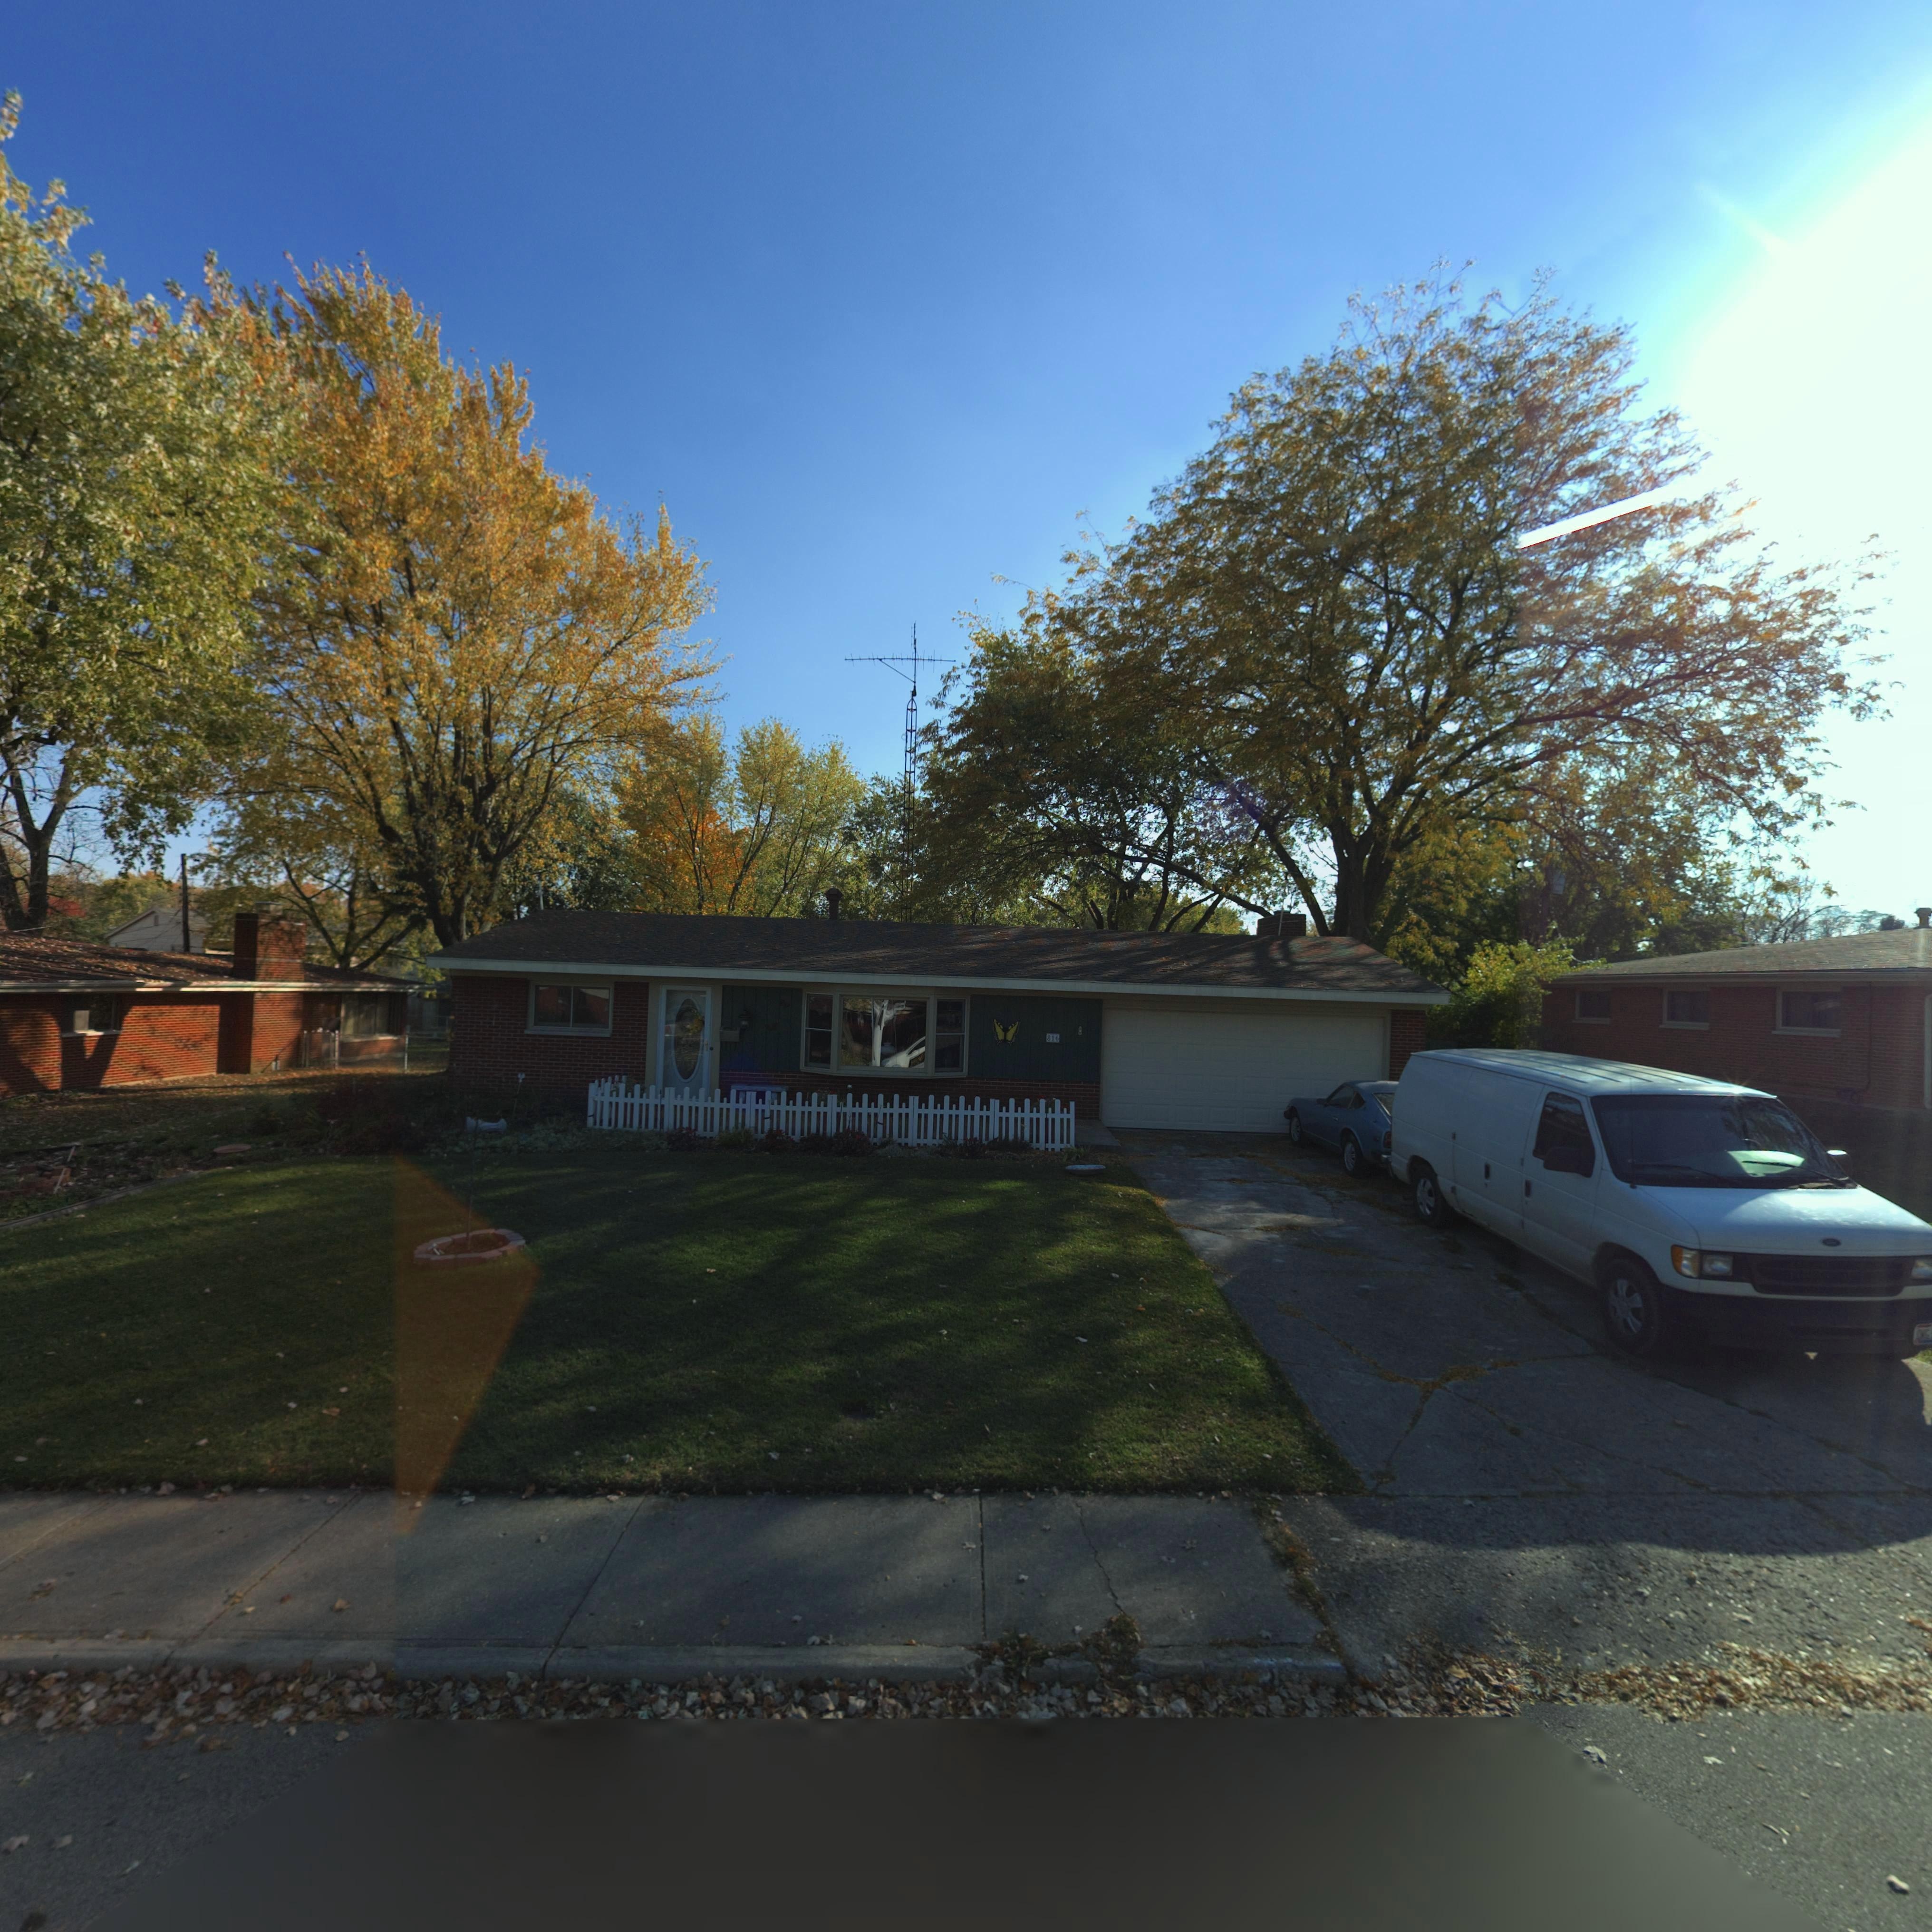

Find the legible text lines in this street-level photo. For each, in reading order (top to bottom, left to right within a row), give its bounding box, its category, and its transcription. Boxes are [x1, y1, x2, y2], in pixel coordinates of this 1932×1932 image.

[1046, 1034, 1059, 1042] StreetNumber: 816